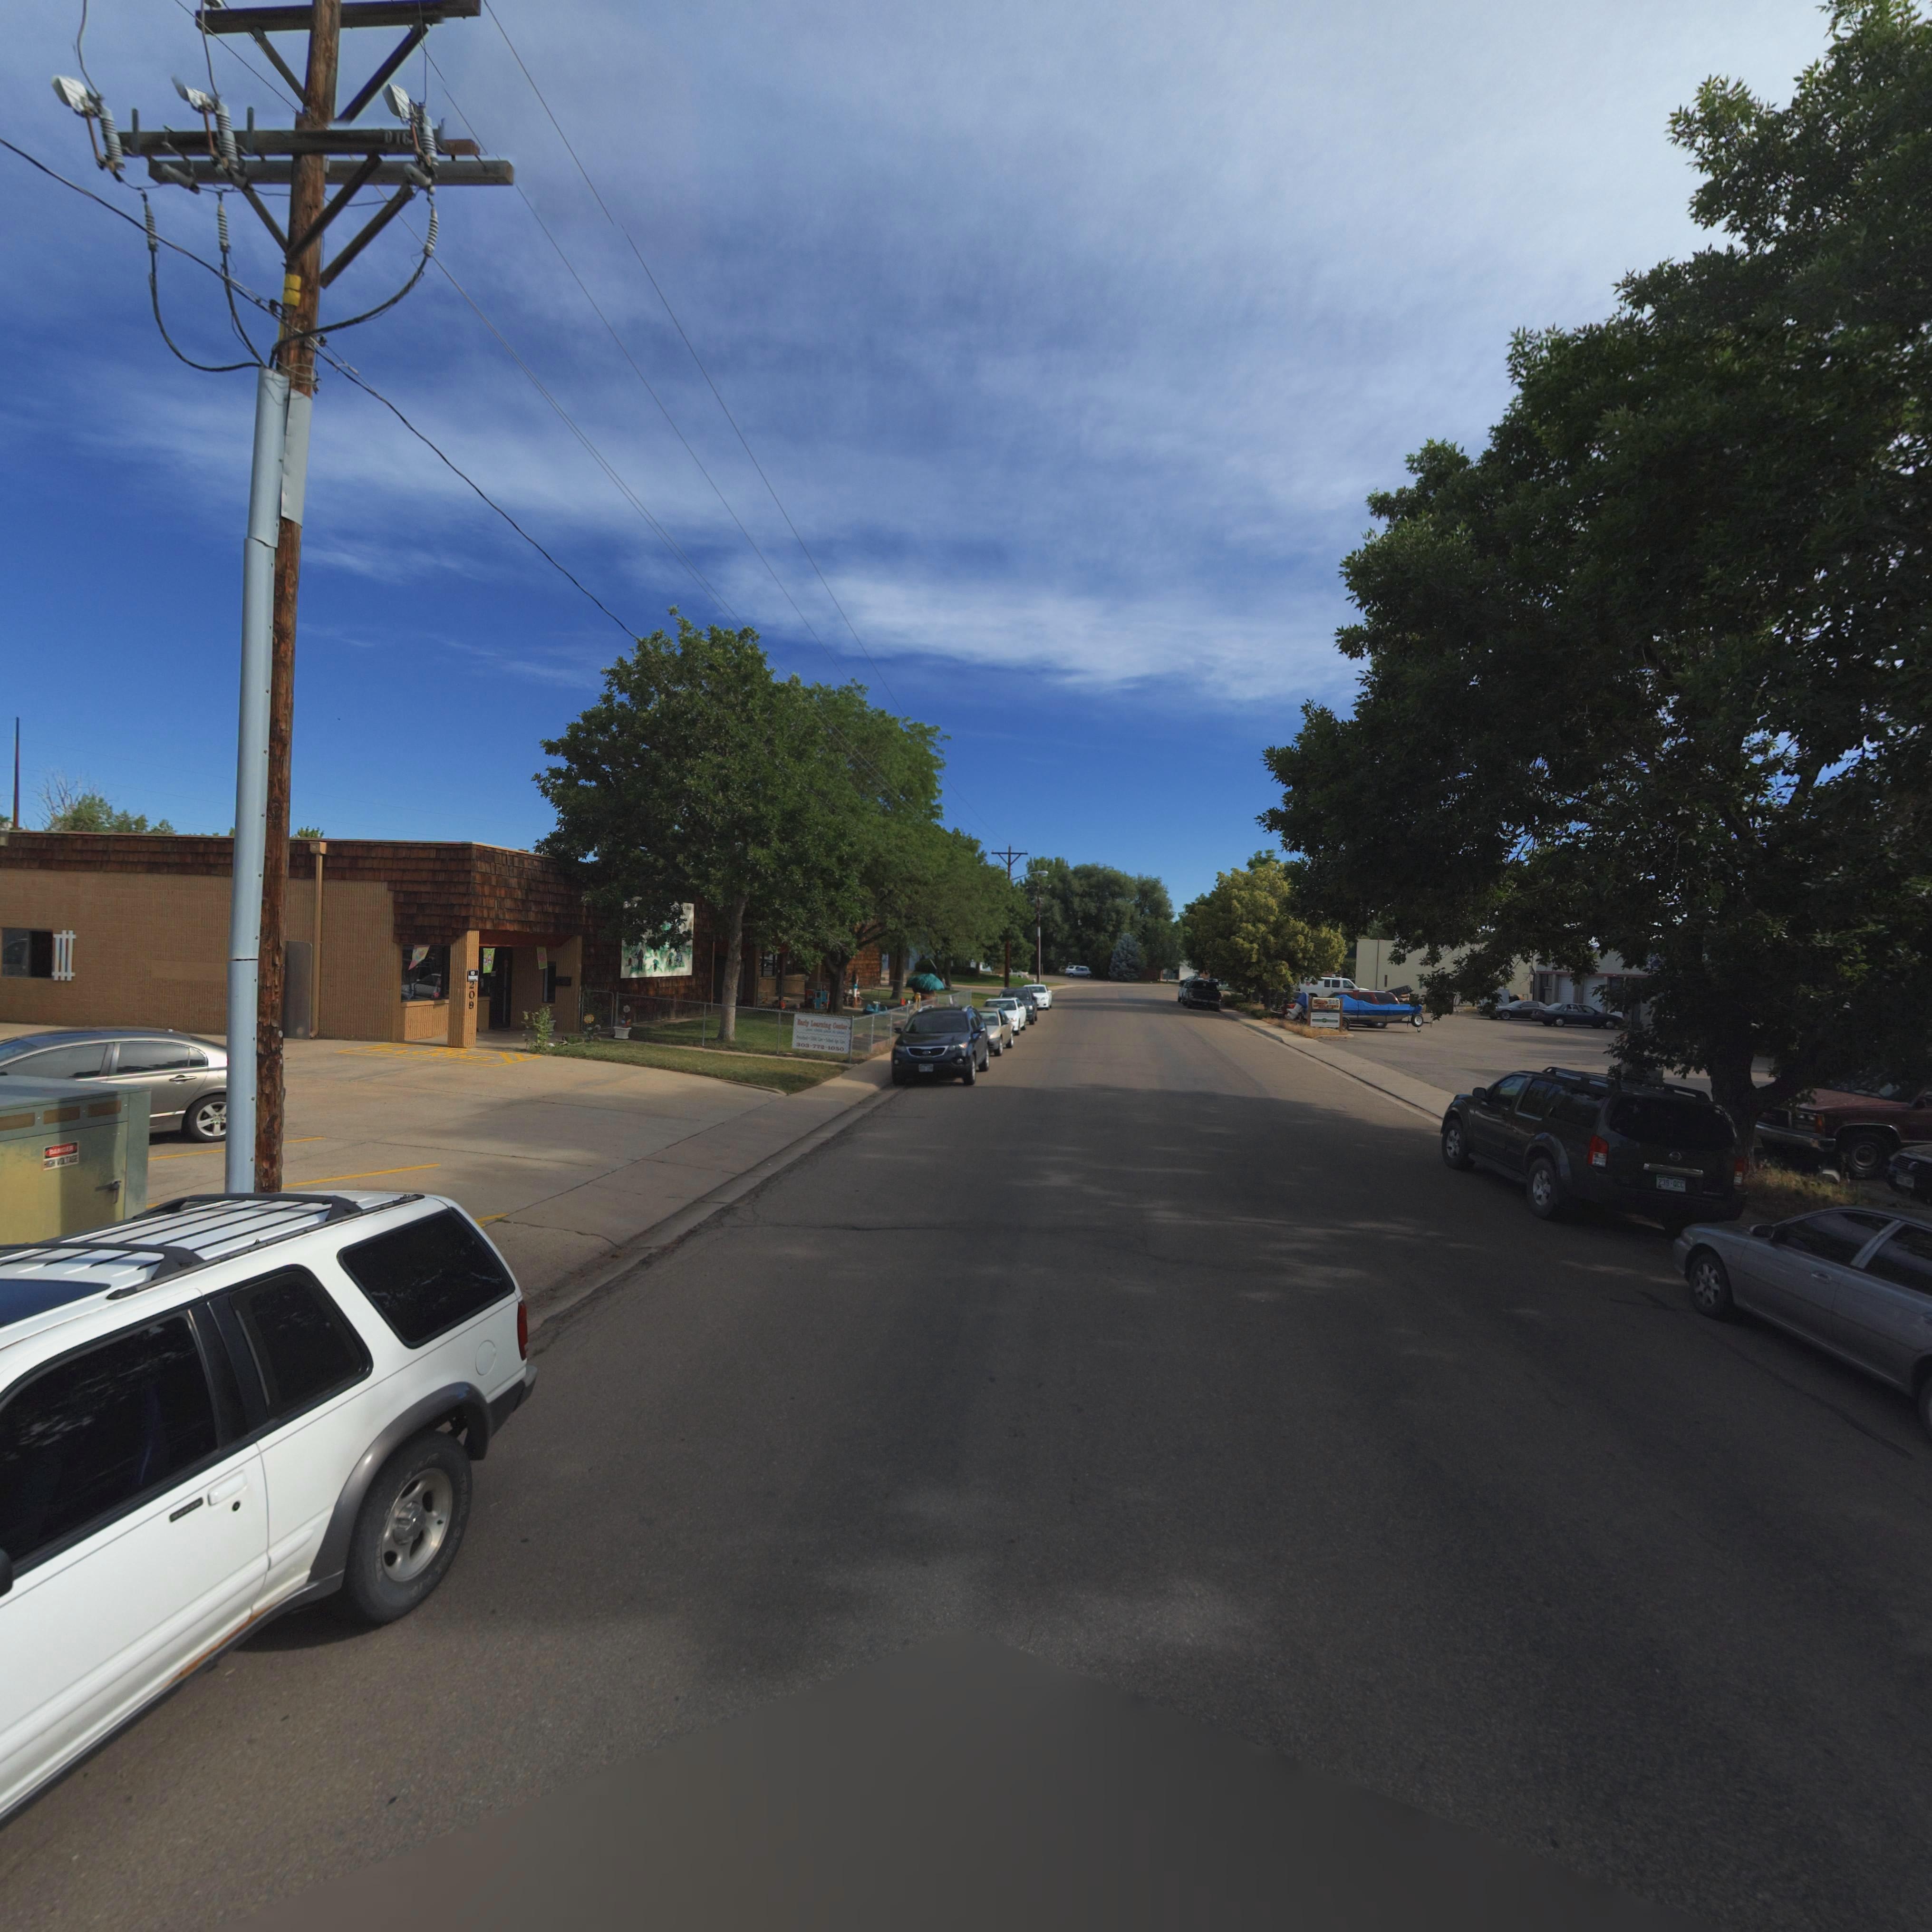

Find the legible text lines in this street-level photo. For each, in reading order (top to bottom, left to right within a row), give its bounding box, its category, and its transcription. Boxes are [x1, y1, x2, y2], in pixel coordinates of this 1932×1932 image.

[468, 980, 475, 1010] StreetNumber: 209
[1328, 999, 1339, 1005] BusinessName: S * S
[1313, 1004, 1339, 1008] BusinessName: UP******RY